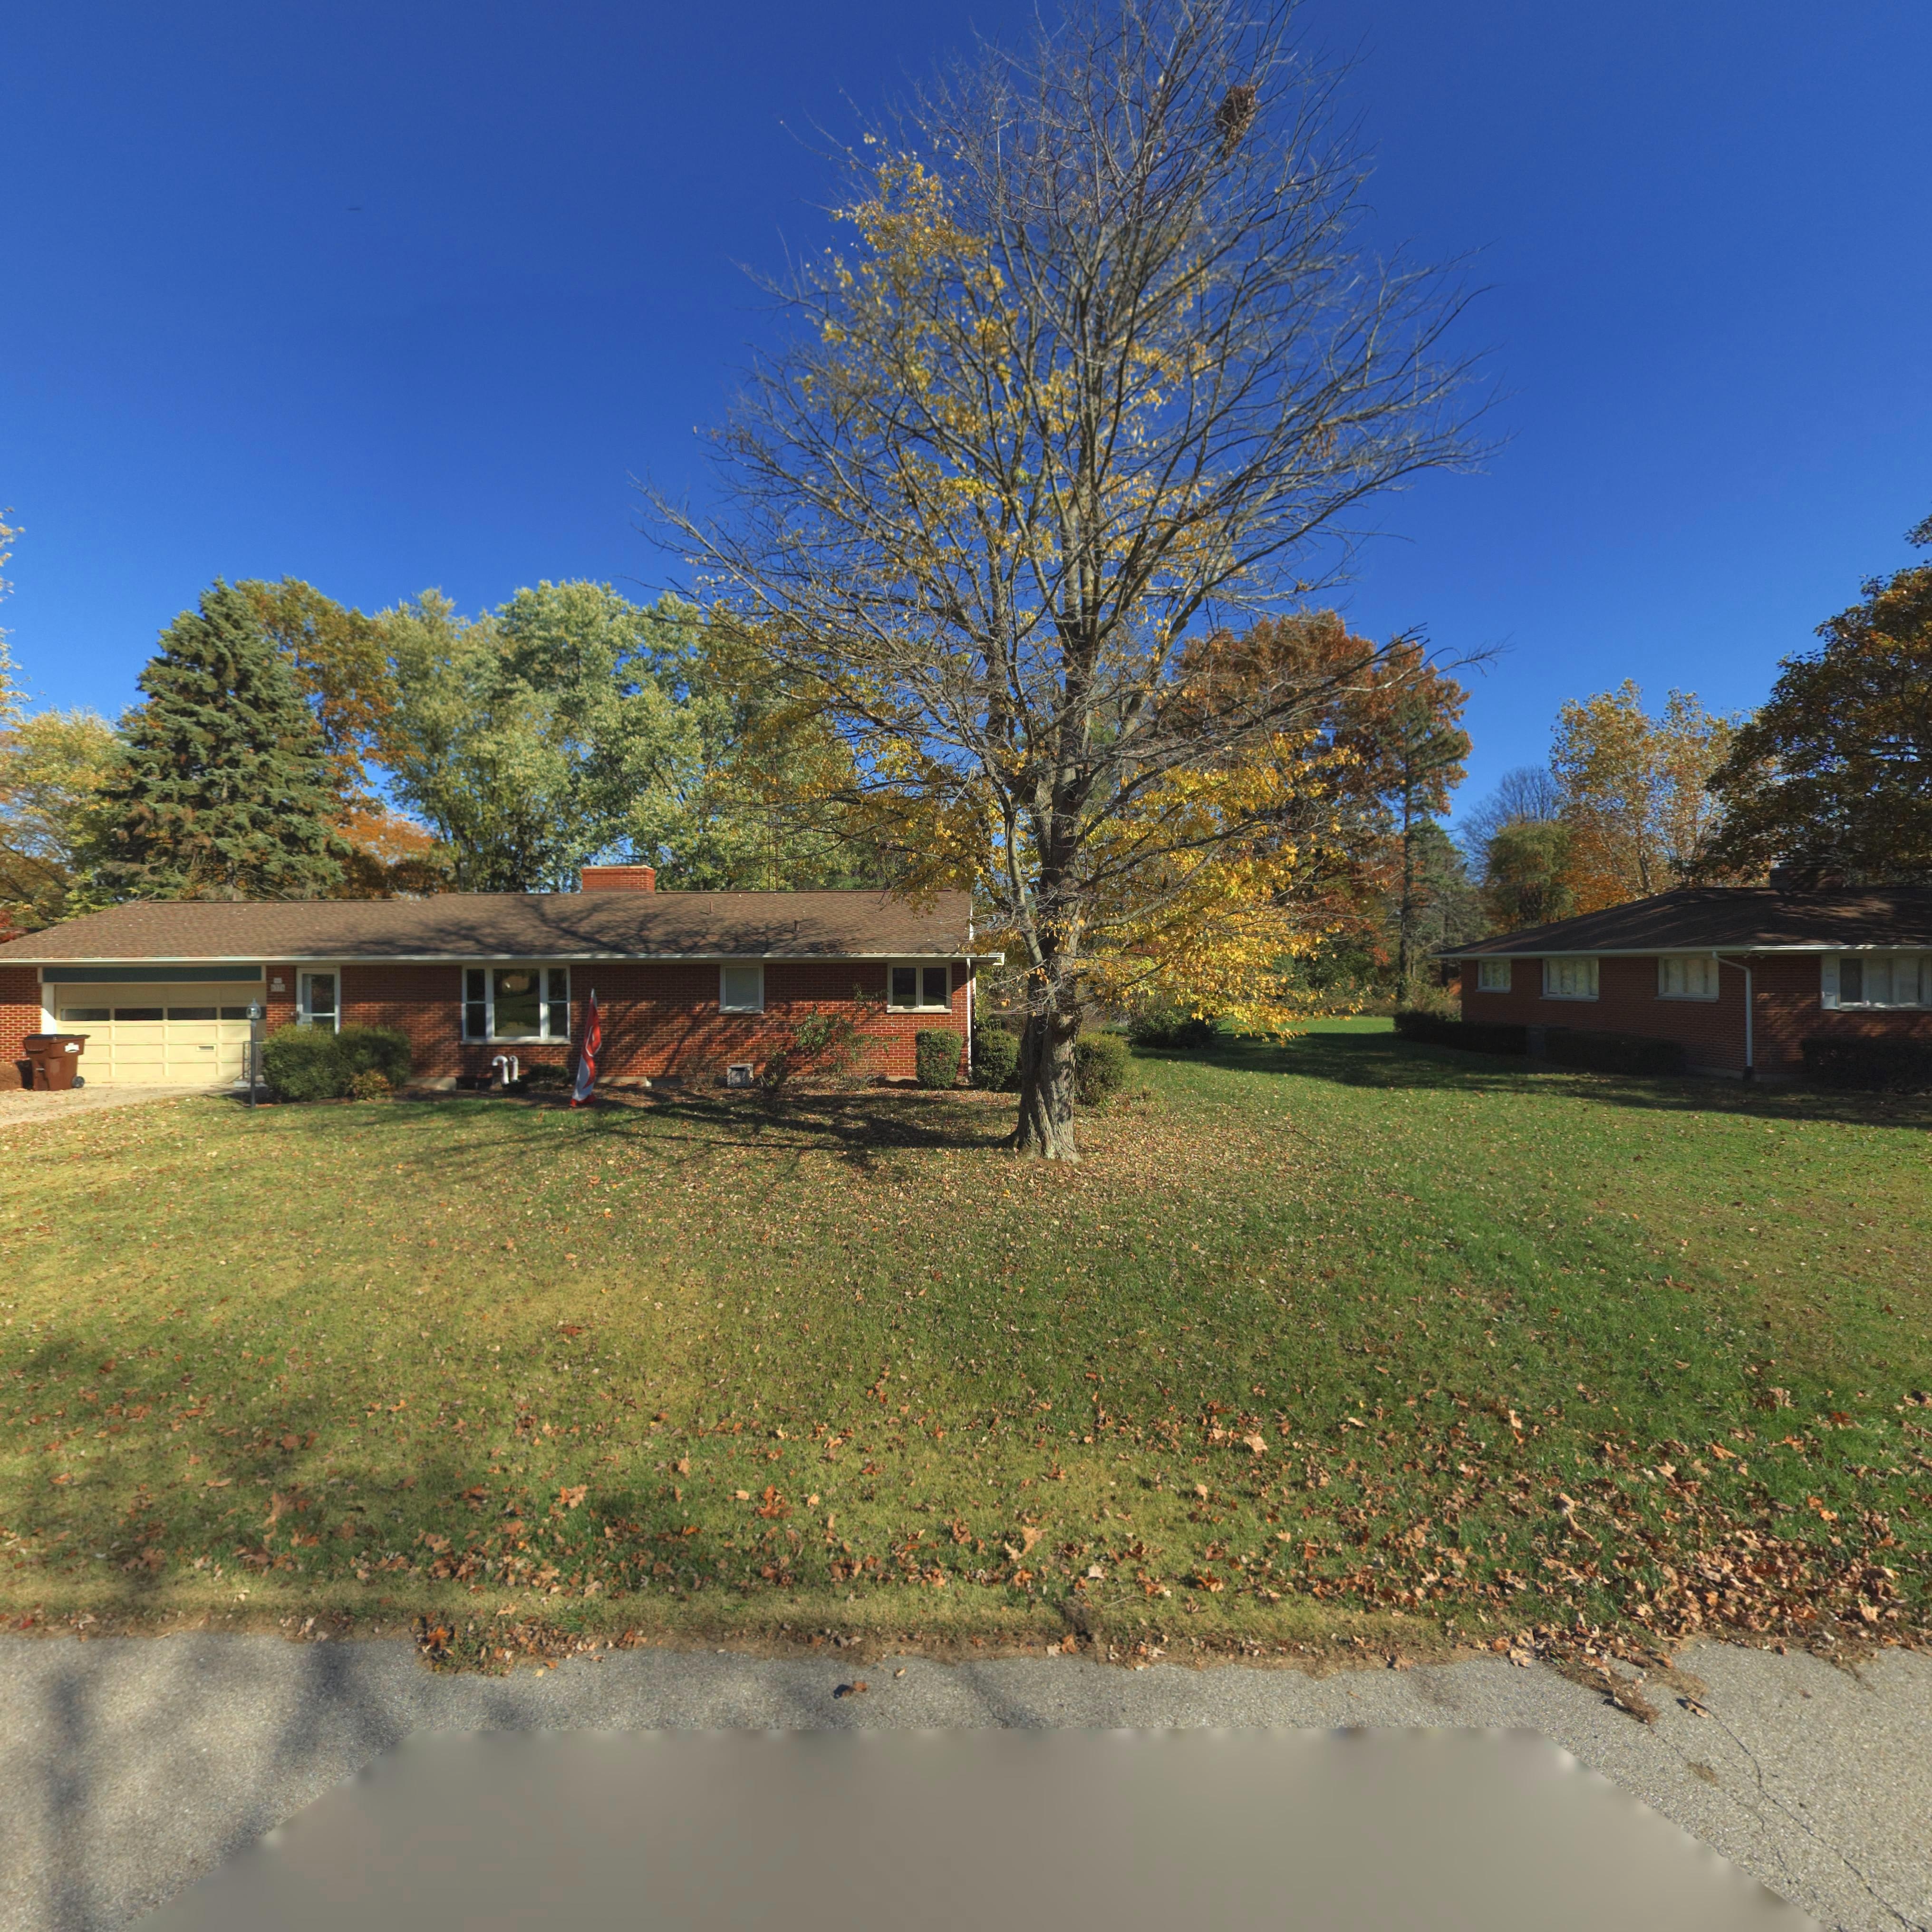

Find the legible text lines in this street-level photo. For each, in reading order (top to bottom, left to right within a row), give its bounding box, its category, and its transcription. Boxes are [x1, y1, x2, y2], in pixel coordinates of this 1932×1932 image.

[274, 985, 281, 991] StreetNumber: 37